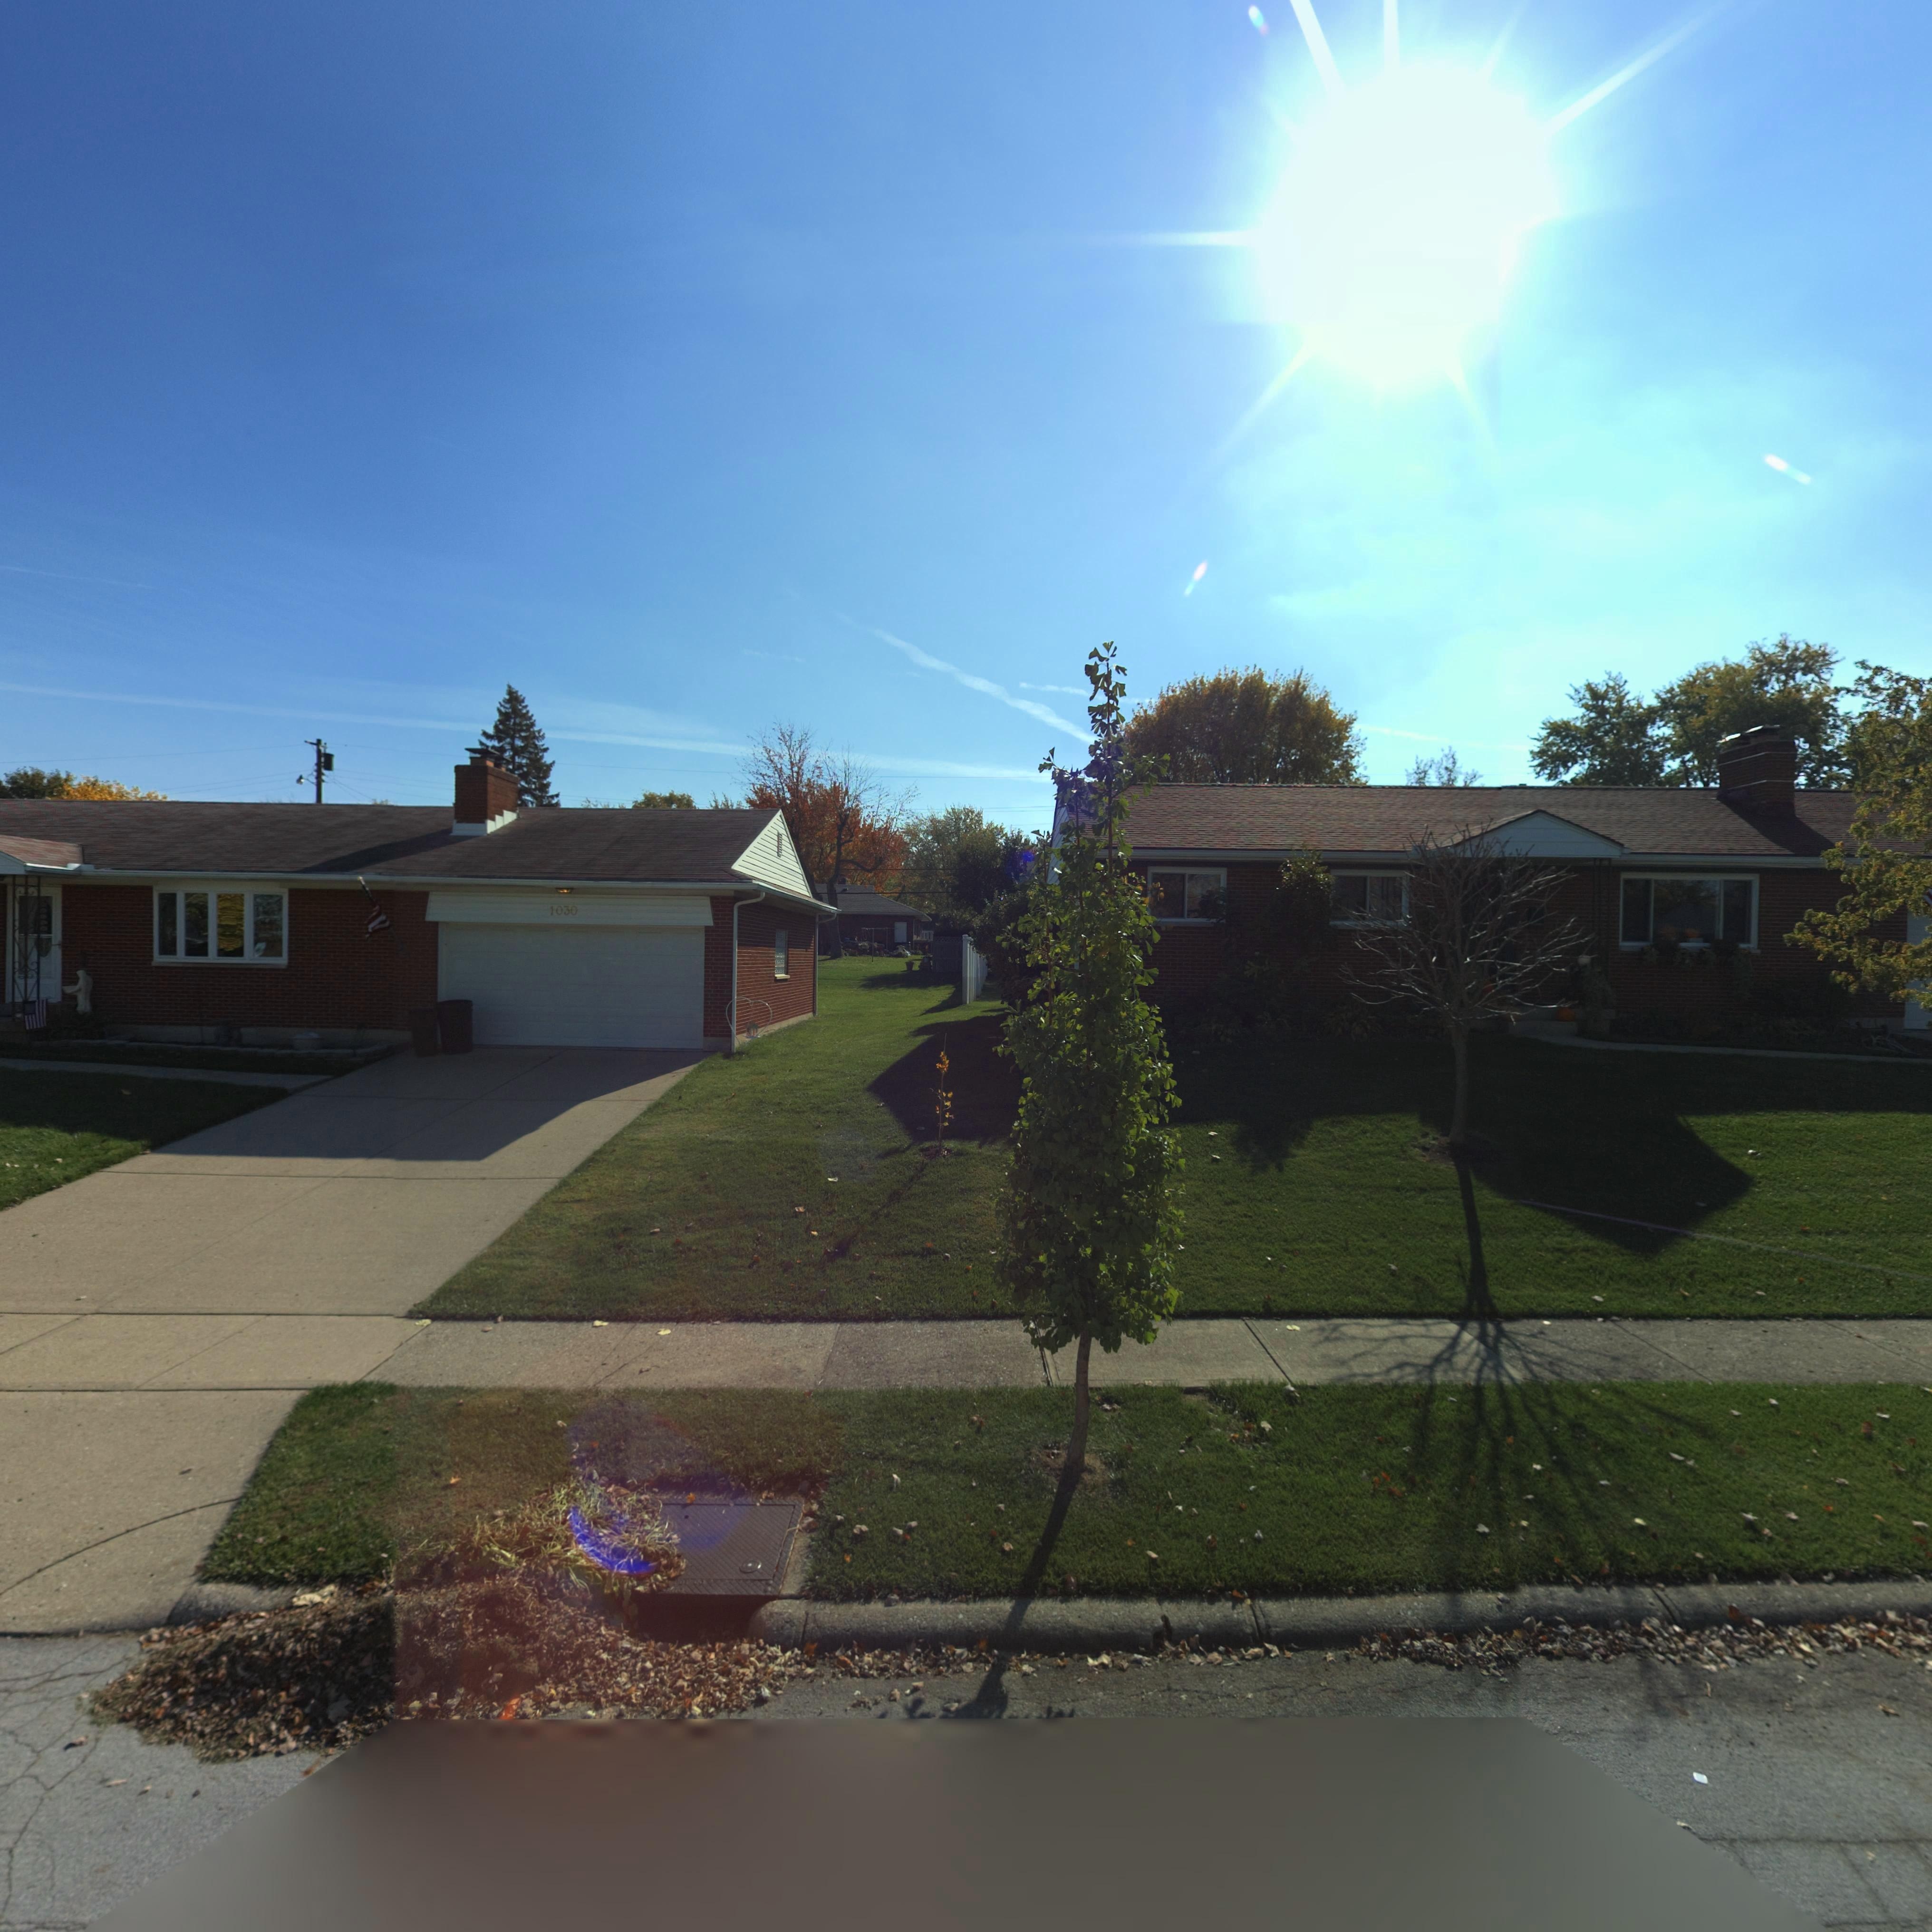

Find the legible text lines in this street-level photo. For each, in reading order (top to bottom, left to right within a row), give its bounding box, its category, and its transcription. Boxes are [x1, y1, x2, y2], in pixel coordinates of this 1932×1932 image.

[550, 904, 579, 917] StreetNumber: 1030